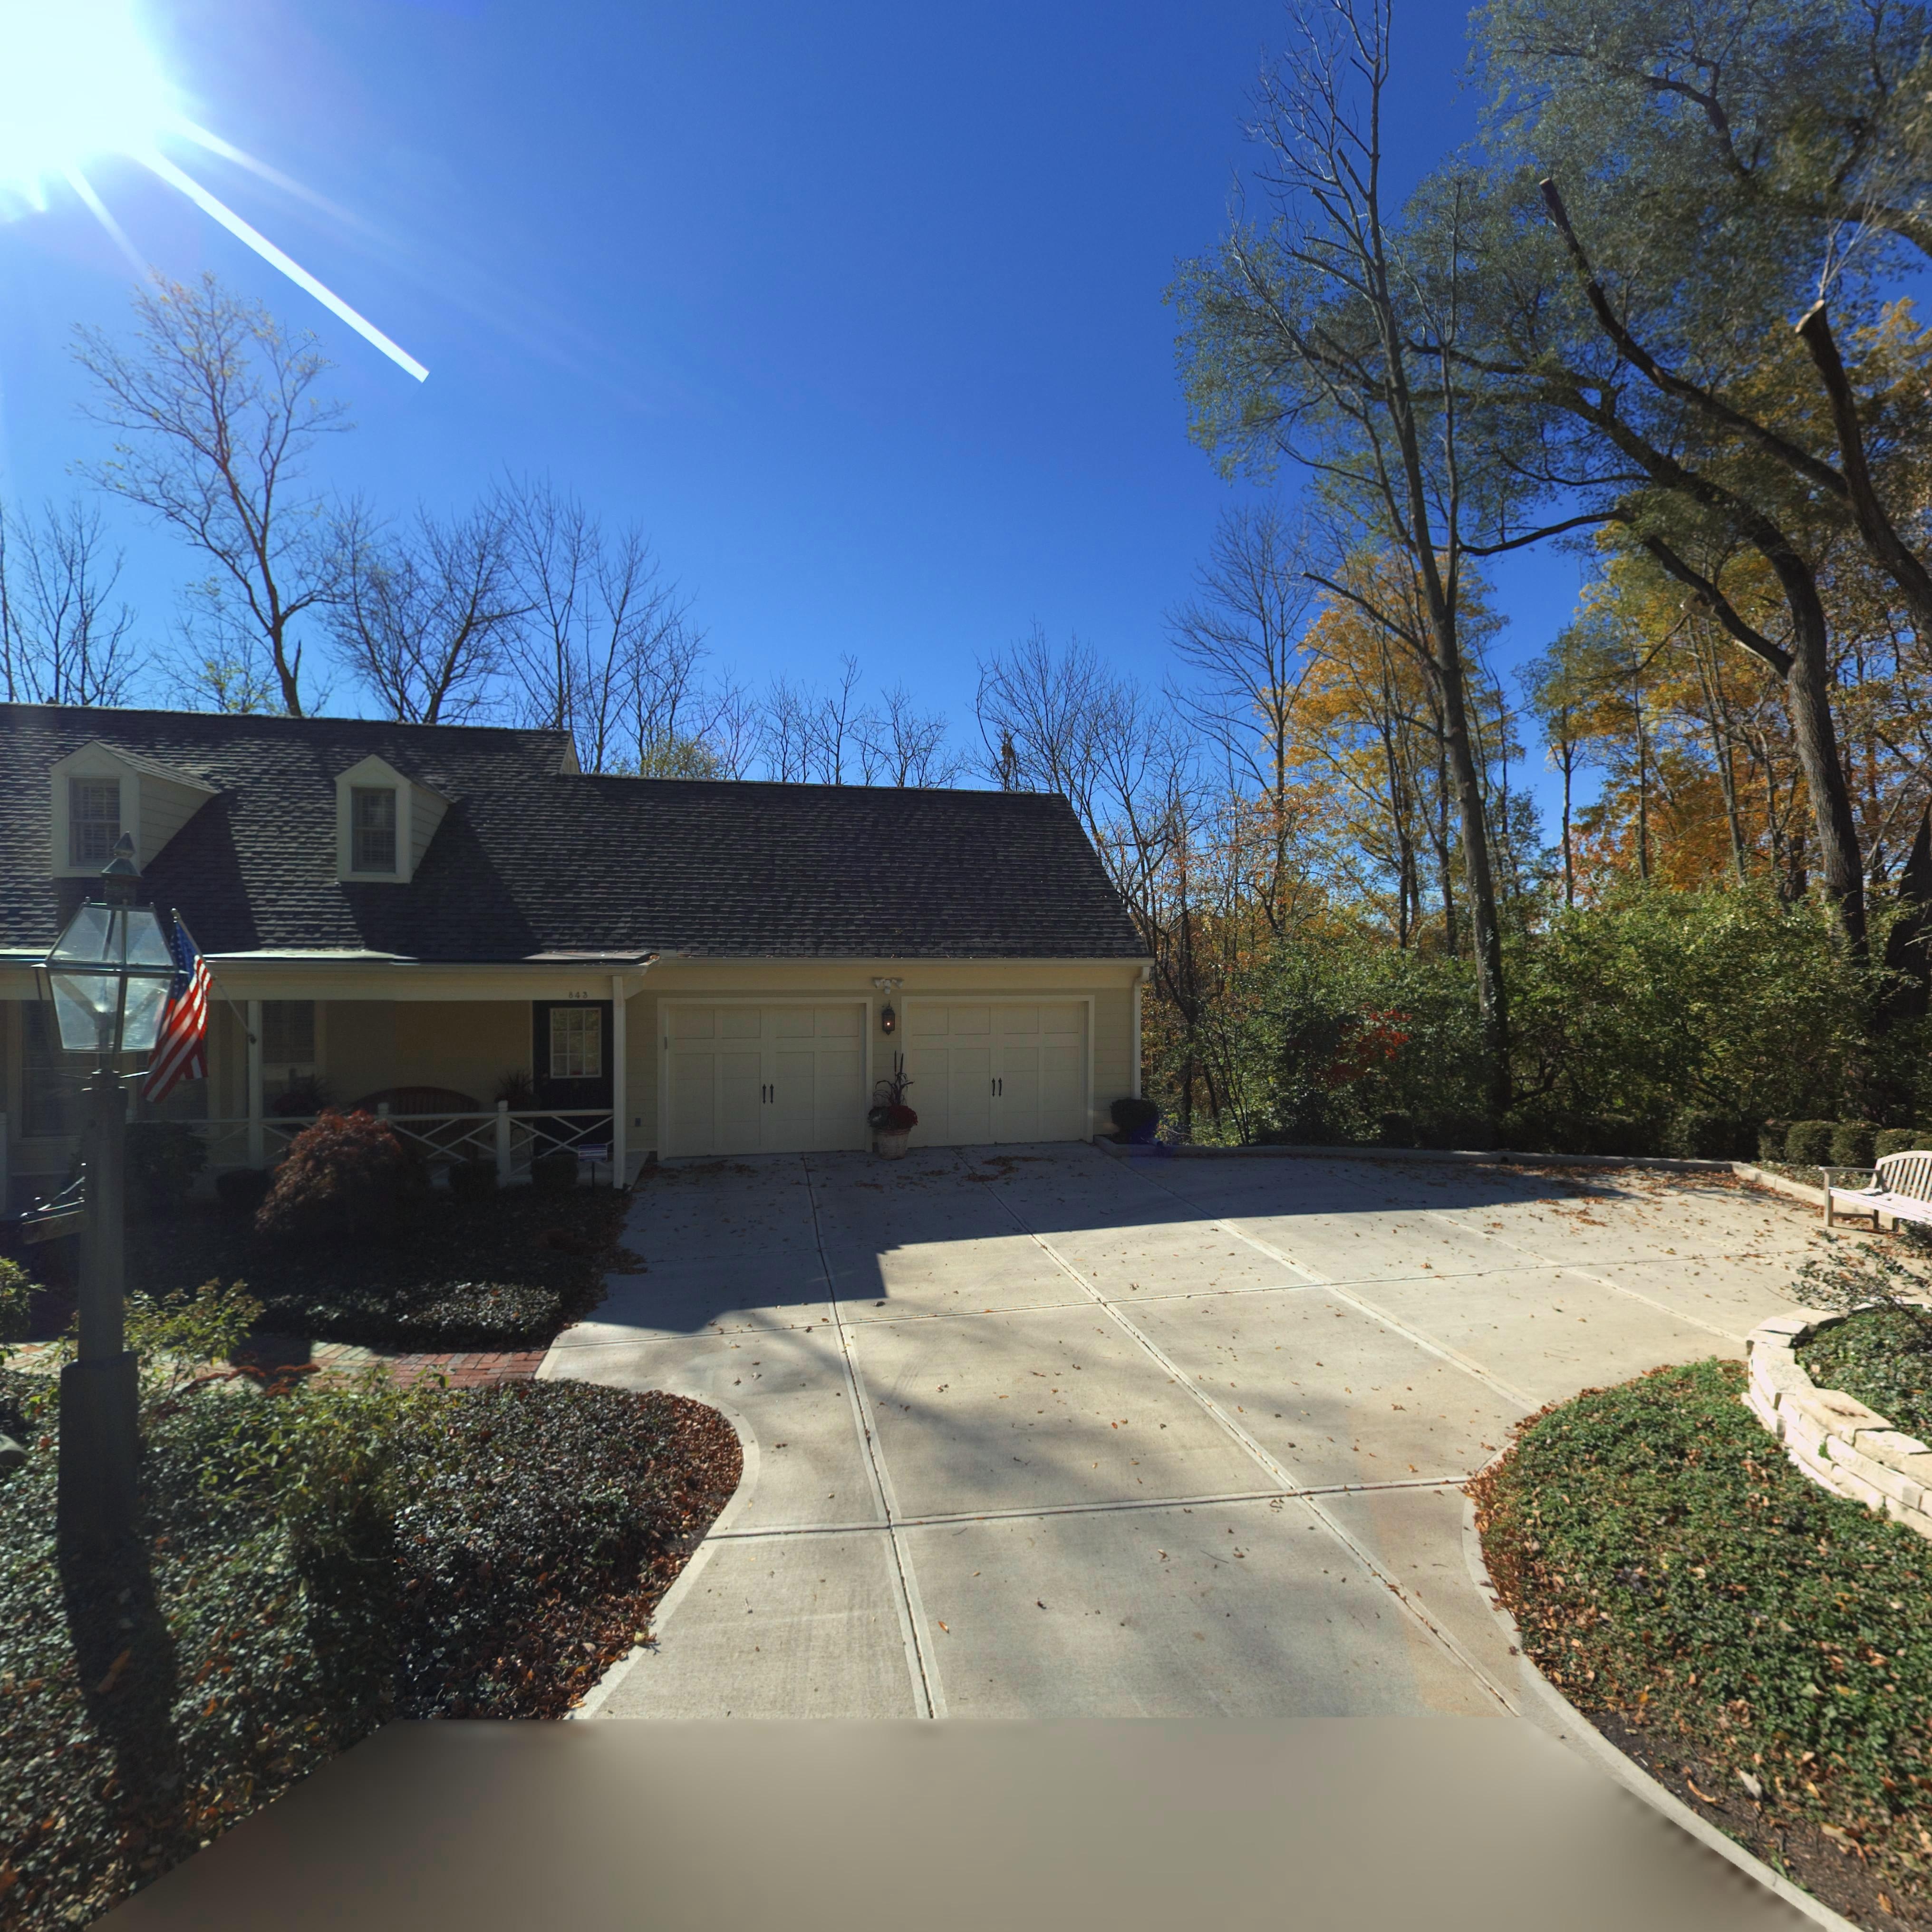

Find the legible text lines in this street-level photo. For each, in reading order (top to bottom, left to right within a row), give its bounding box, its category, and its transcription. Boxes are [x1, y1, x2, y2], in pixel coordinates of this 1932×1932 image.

[568, 991, 588, 999] StreetNumber: 843
[33, 1212, 79, 1242] StreetNumber: **3